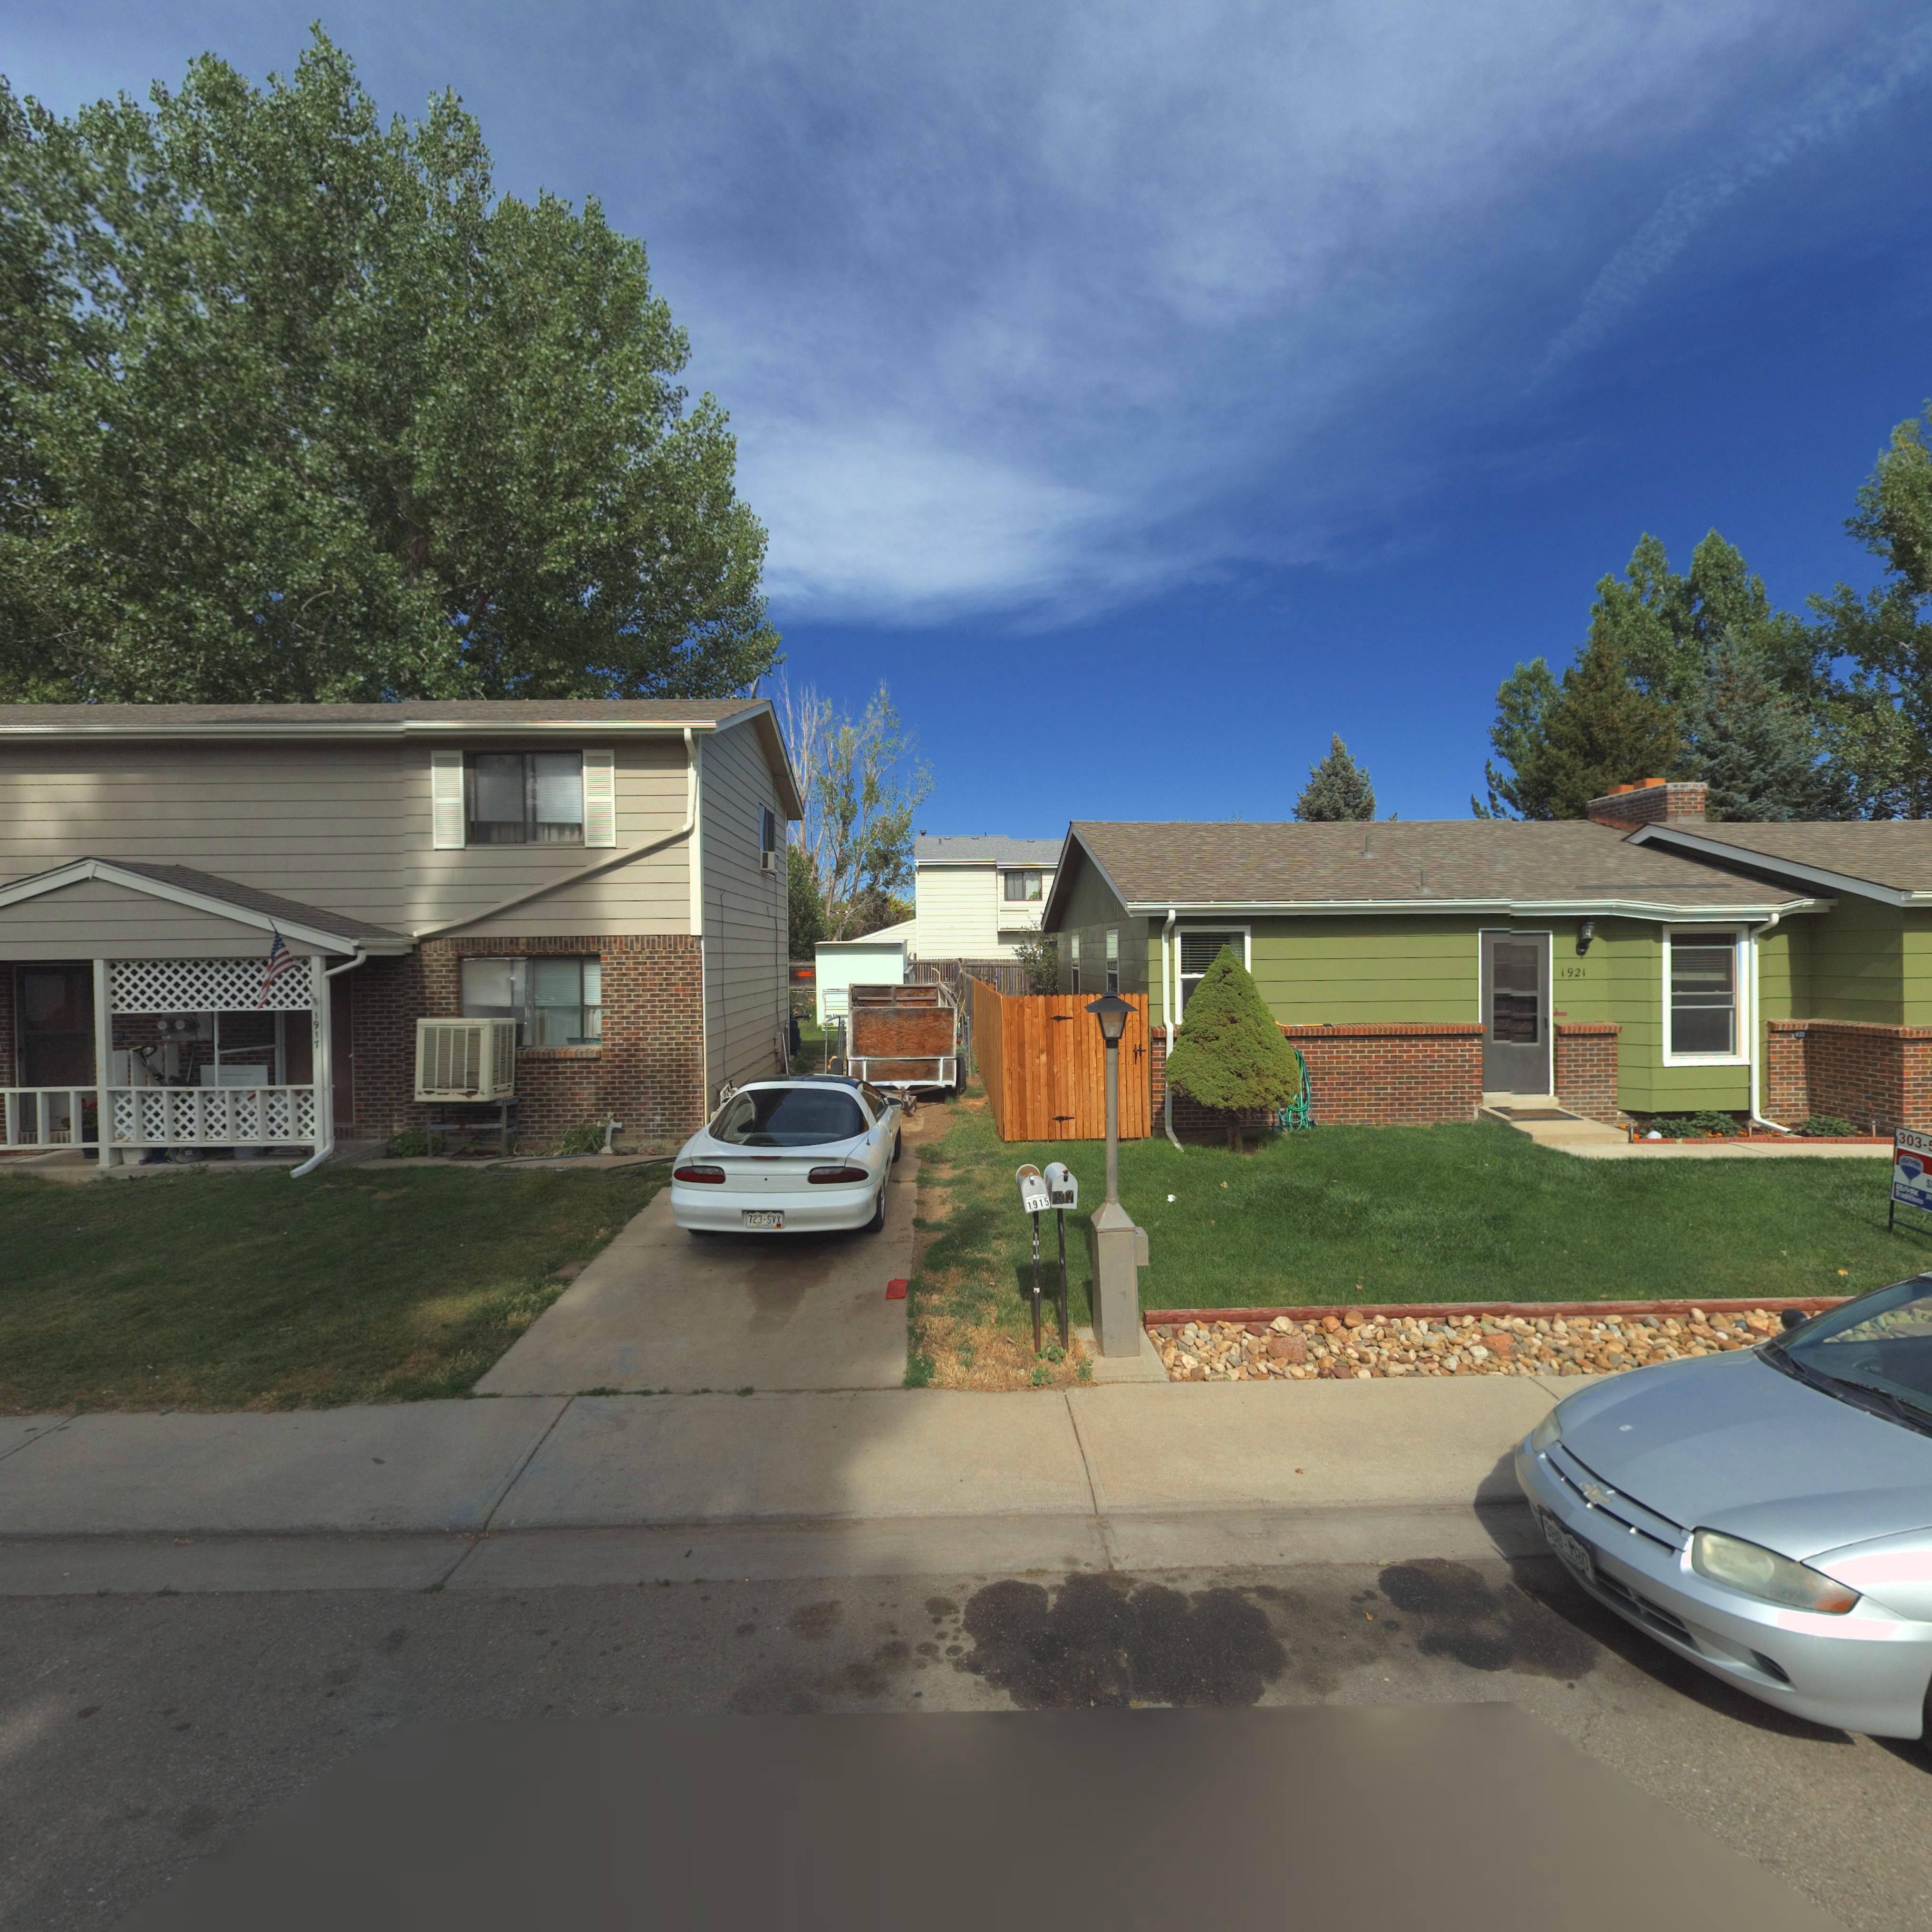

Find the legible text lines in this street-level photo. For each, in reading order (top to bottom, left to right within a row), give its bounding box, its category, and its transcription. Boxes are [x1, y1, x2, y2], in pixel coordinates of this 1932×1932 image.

[1561, 967, 1585, 978] StreetNumber: 1921
[312, 1011, 320, 1049] StreetNumber: 1917
[1027, 1197, 1049, 1210] StreetNumber: 1915
[1052, 1189, 1073, 1204] StreetNumber: 1917